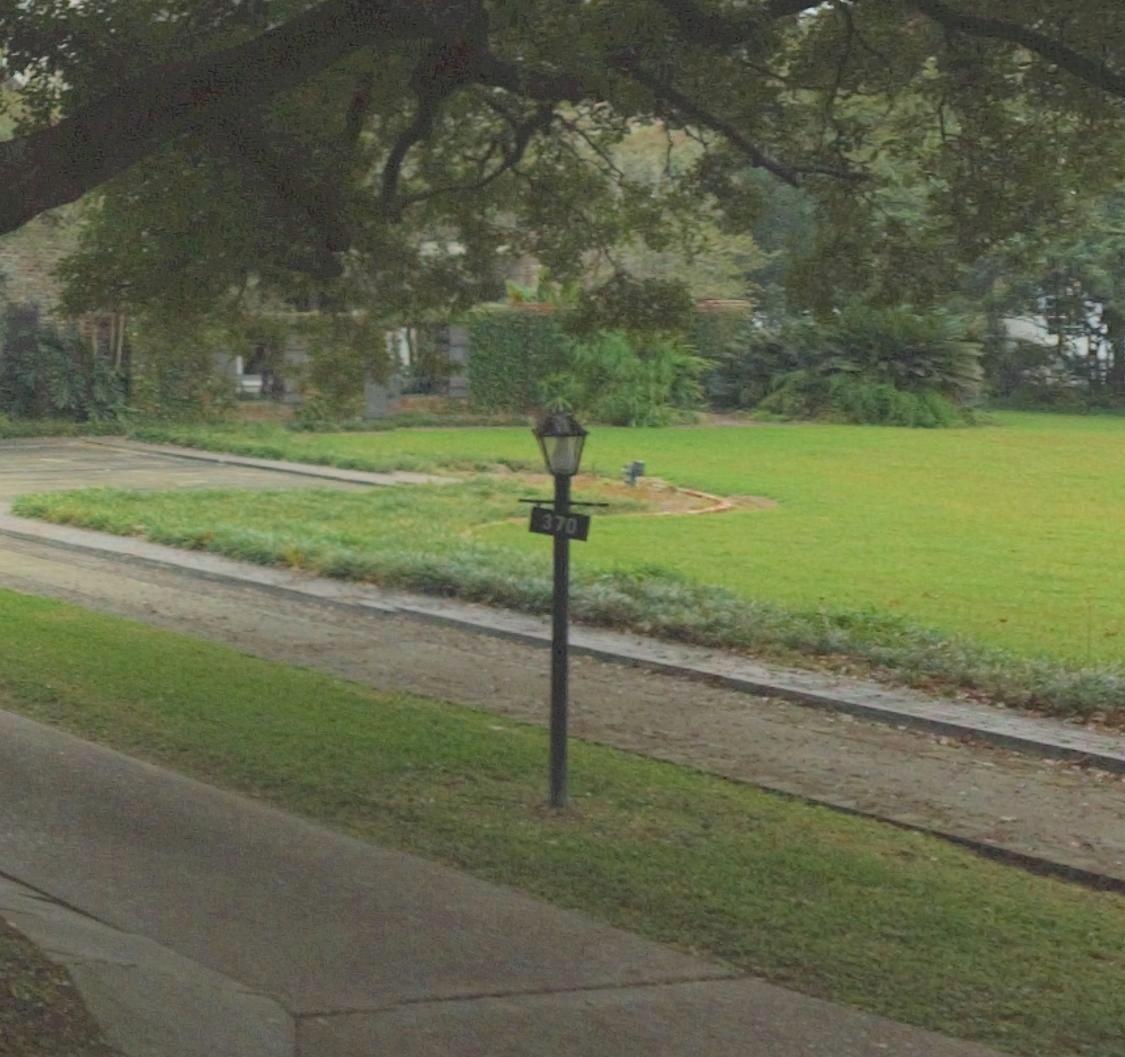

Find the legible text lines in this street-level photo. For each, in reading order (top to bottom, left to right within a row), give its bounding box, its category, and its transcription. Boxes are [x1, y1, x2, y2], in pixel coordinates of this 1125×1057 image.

[540, 512, 580, 535] StreetNumber: 370